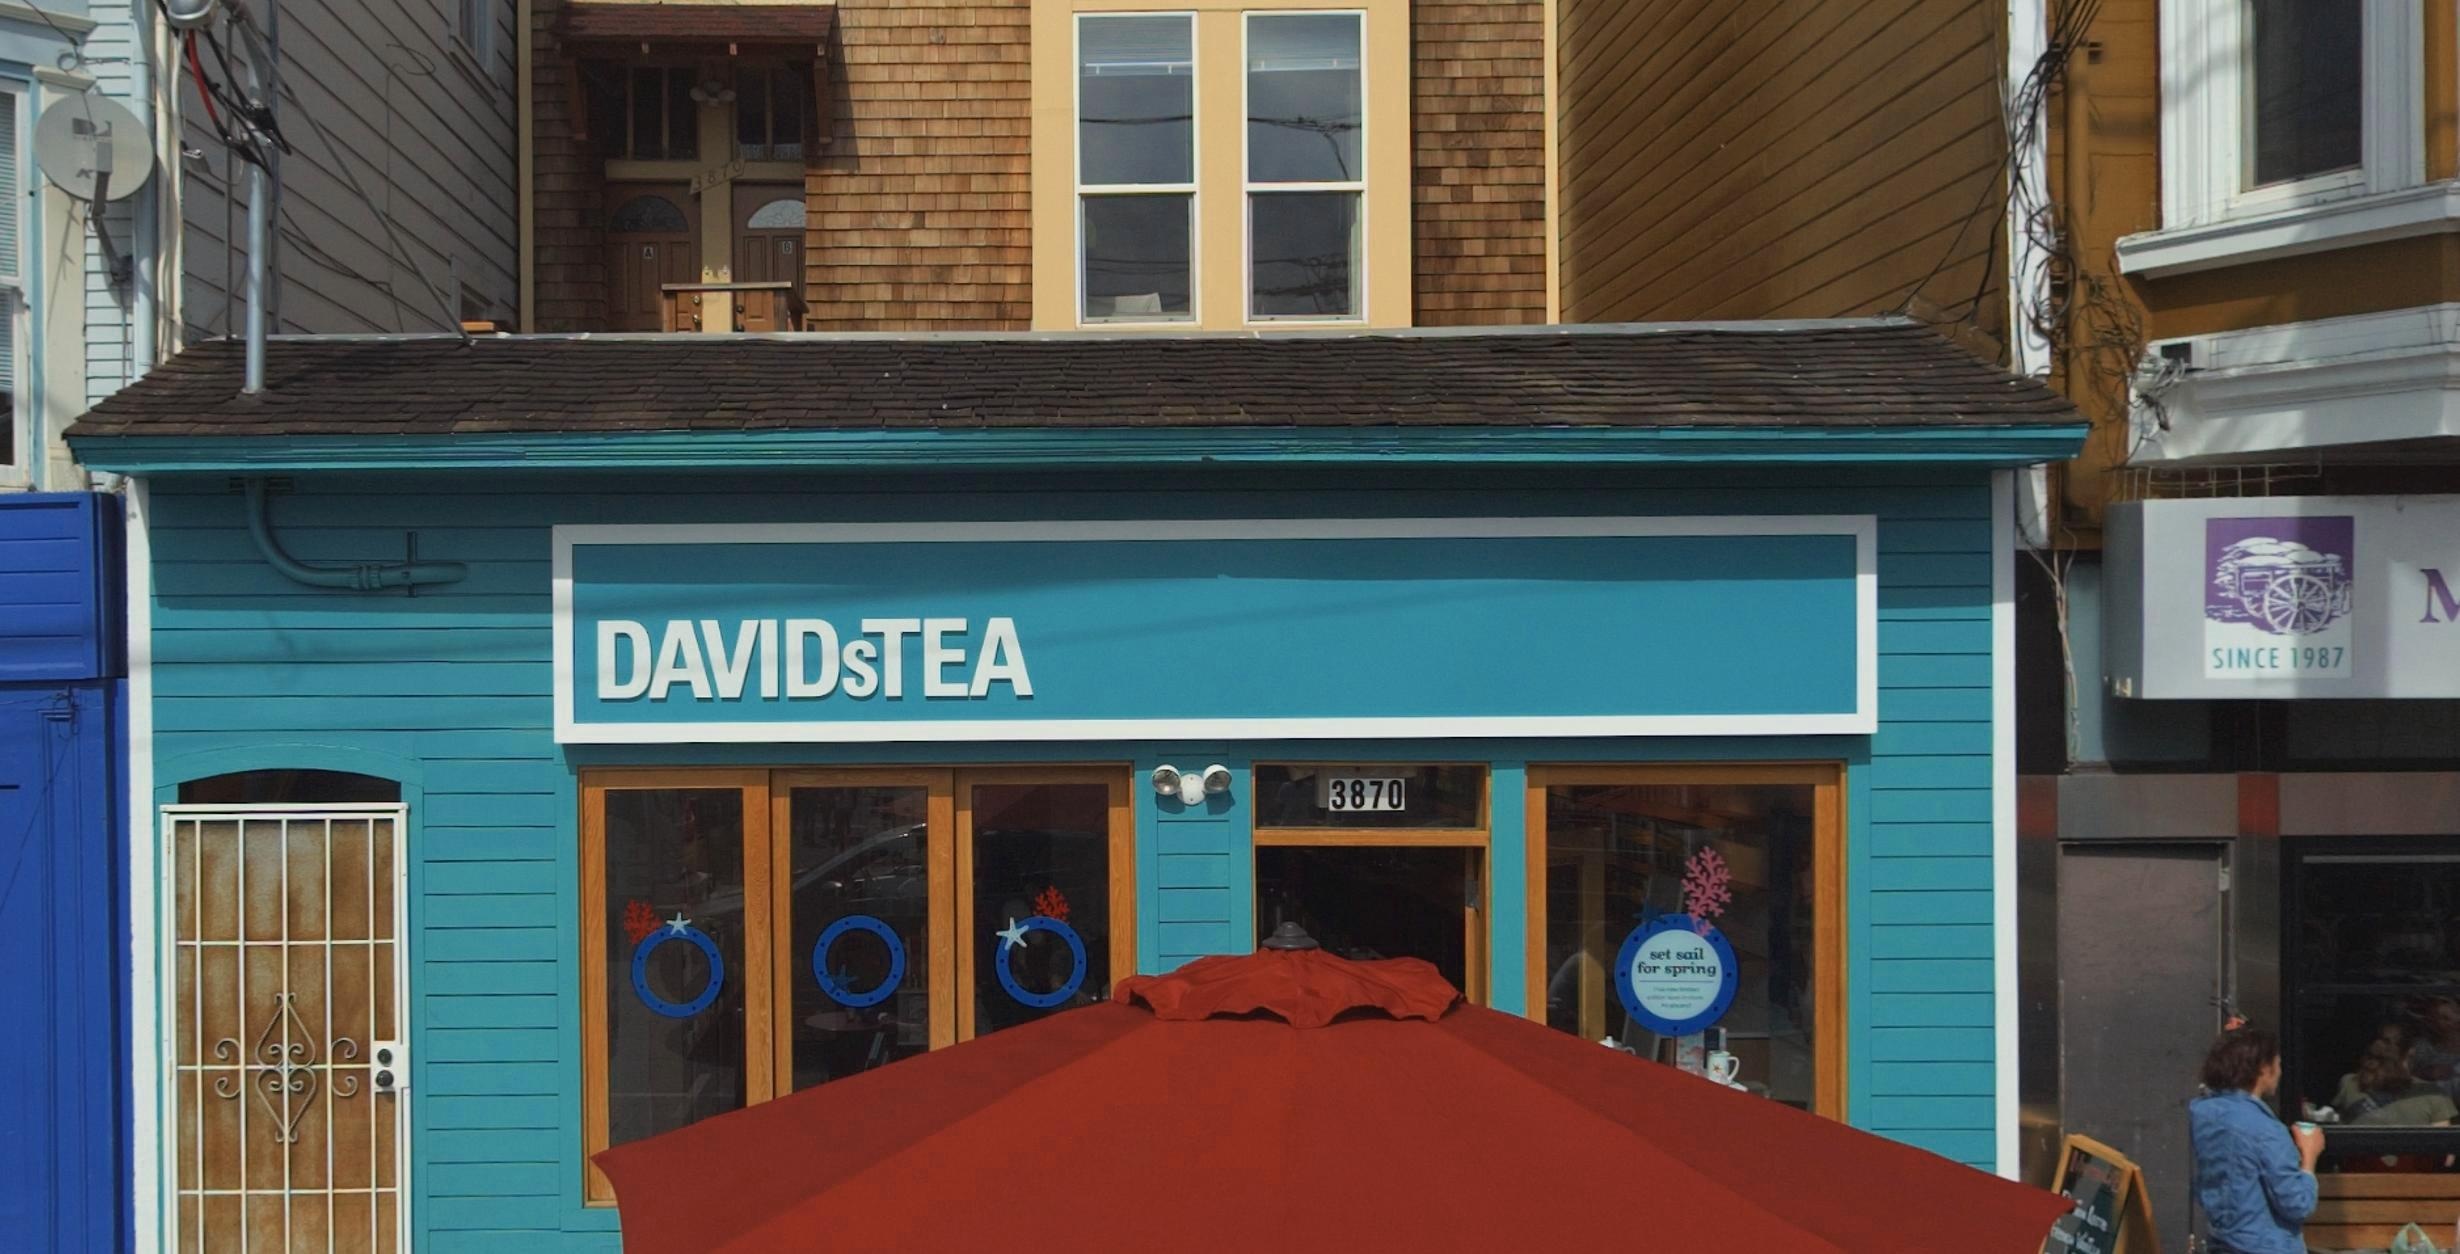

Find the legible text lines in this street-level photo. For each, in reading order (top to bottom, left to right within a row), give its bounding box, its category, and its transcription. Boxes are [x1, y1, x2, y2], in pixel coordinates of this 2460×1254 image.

[691, 157, 743, 196] StreetNumber: 3870
[643, 248, 653, 259] StreetNumber: A
[783, 241, 792, 254] StreetNumber: B
[594, 615, 1034, 702] BusinessName: DAVIDsTEA
[2212, 646, 2345, 670] None: SINCE 1987
[1329, 779, 1403, 810] StreetNumber: 3870
[1647, 945, 1705, 961] None: set sail
[1635, 961, 1717, 978] None: for spring